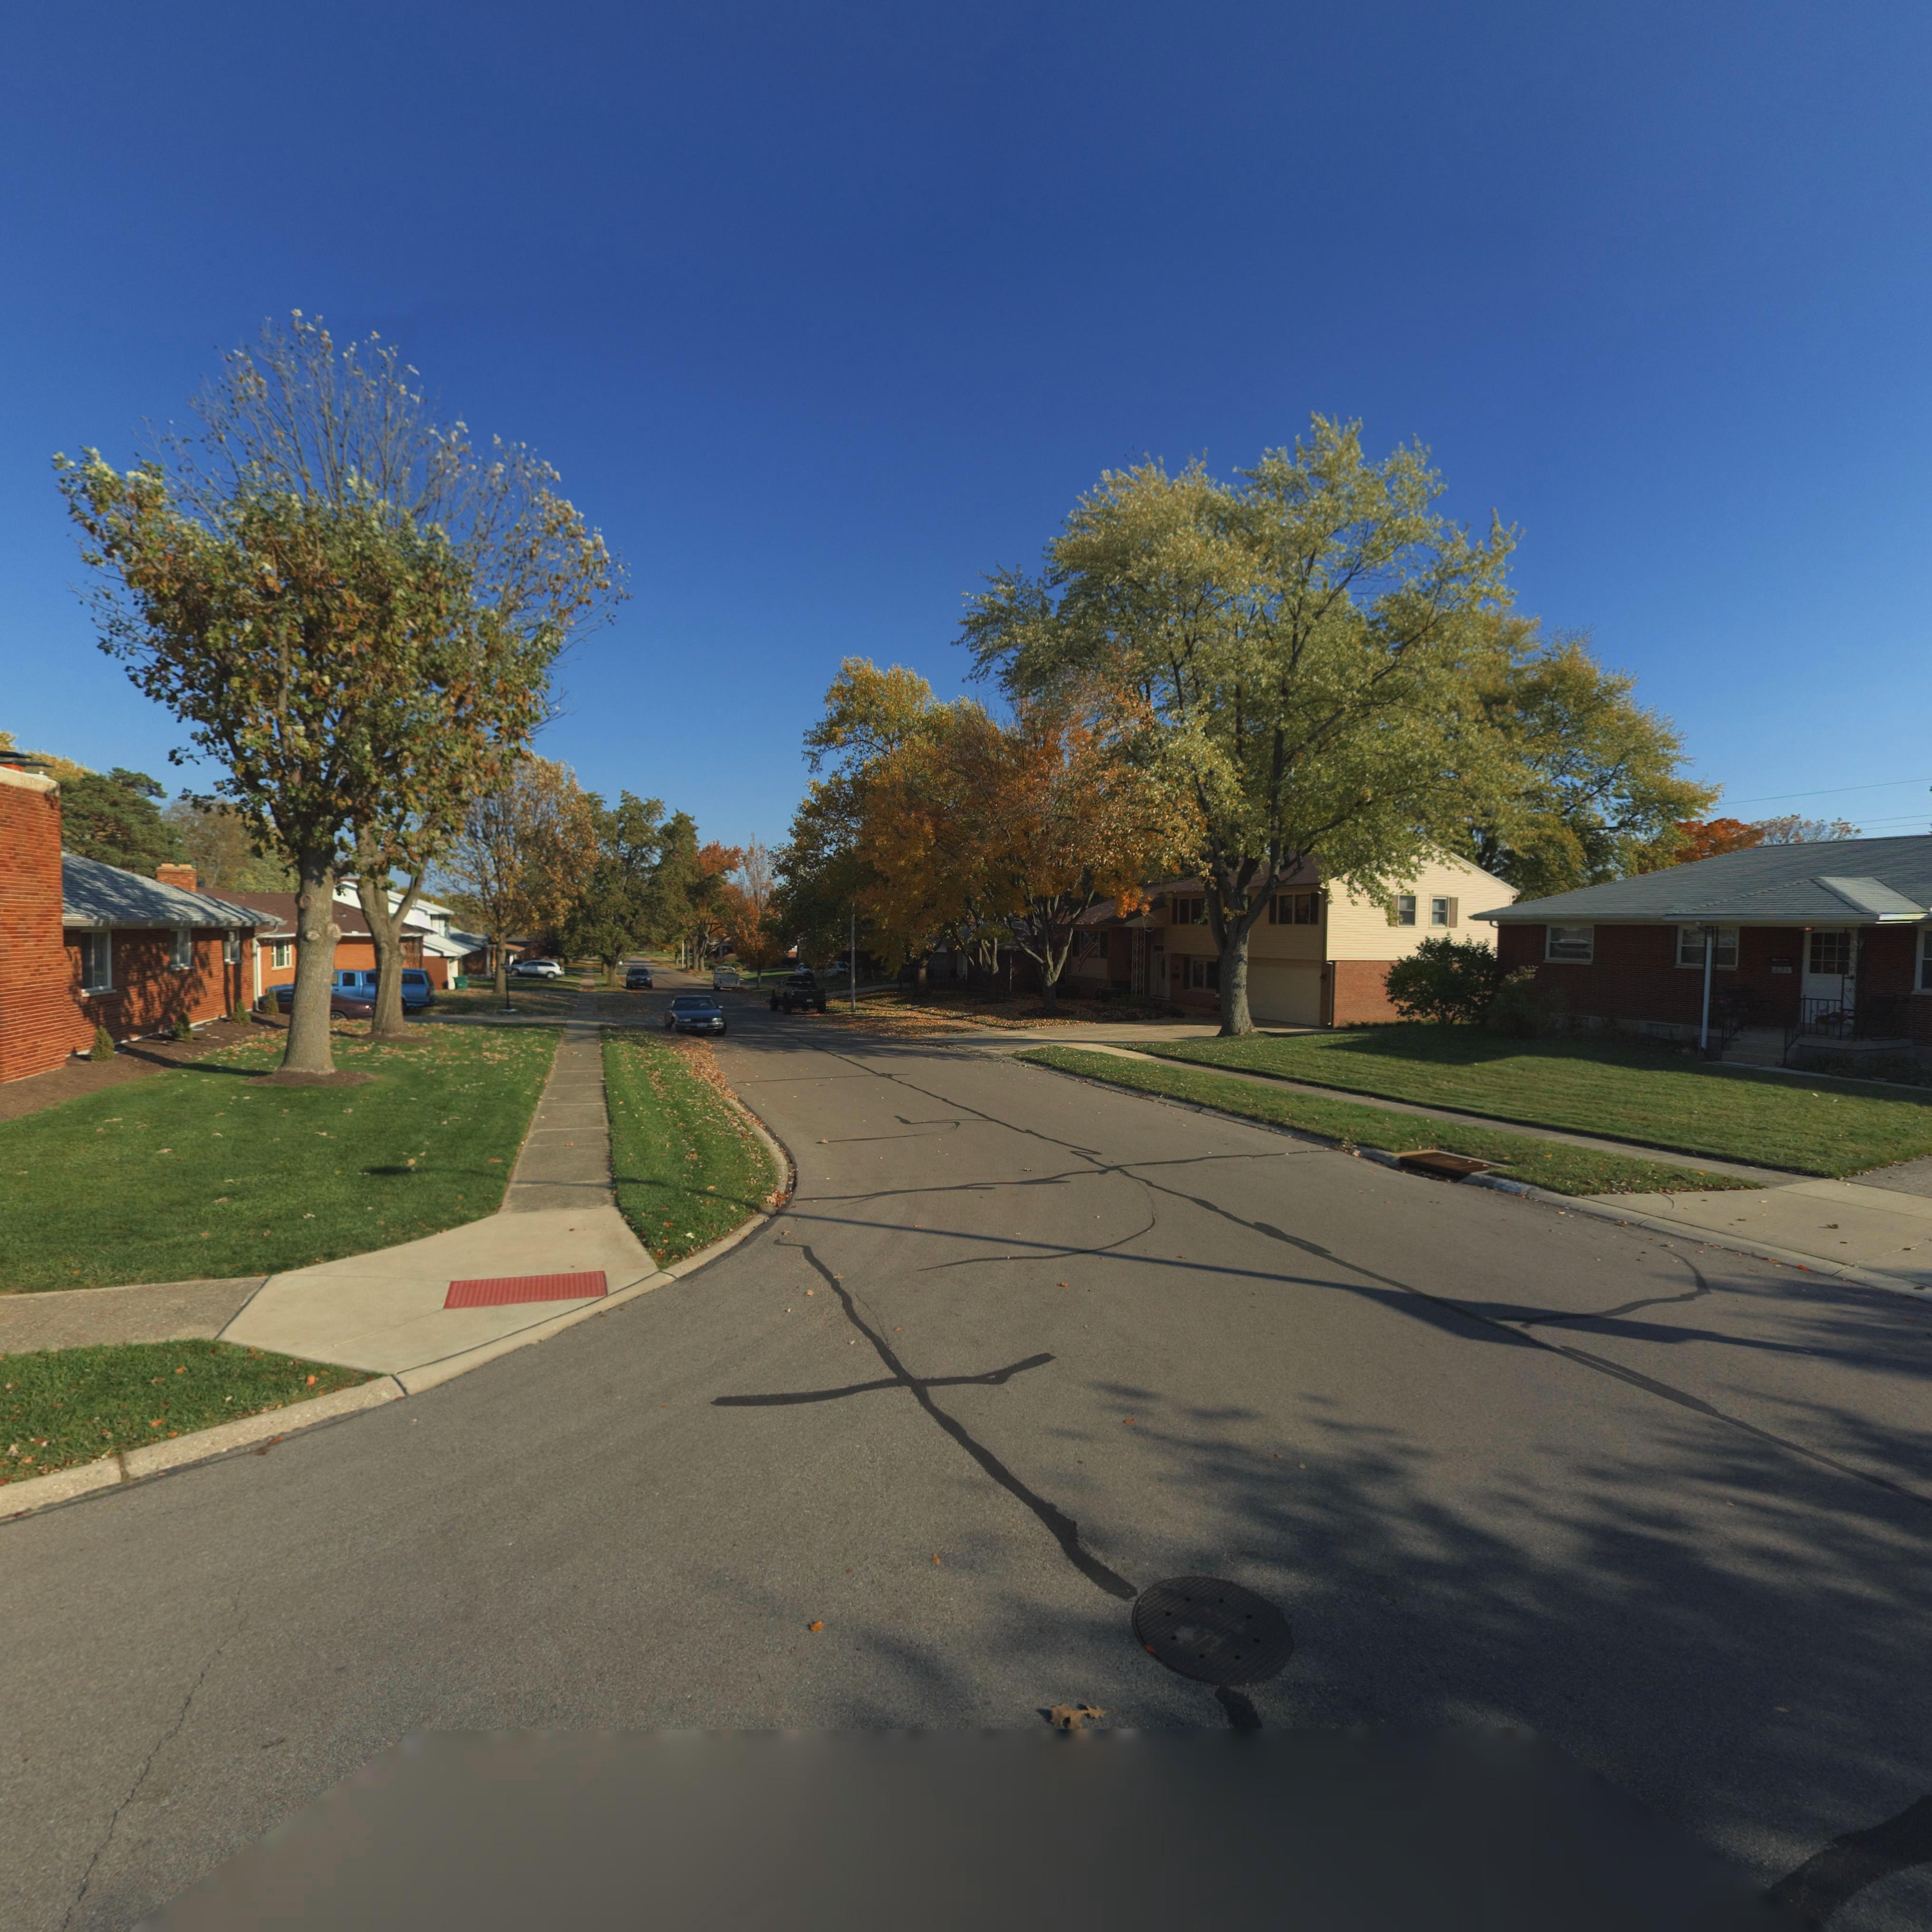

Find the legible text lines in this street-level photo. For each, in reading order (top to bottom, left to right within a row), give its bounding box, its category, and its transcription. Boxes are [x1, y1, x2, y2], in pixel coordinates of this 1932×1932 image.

[1774, 966, 1789, 973] StreetNumber: 628